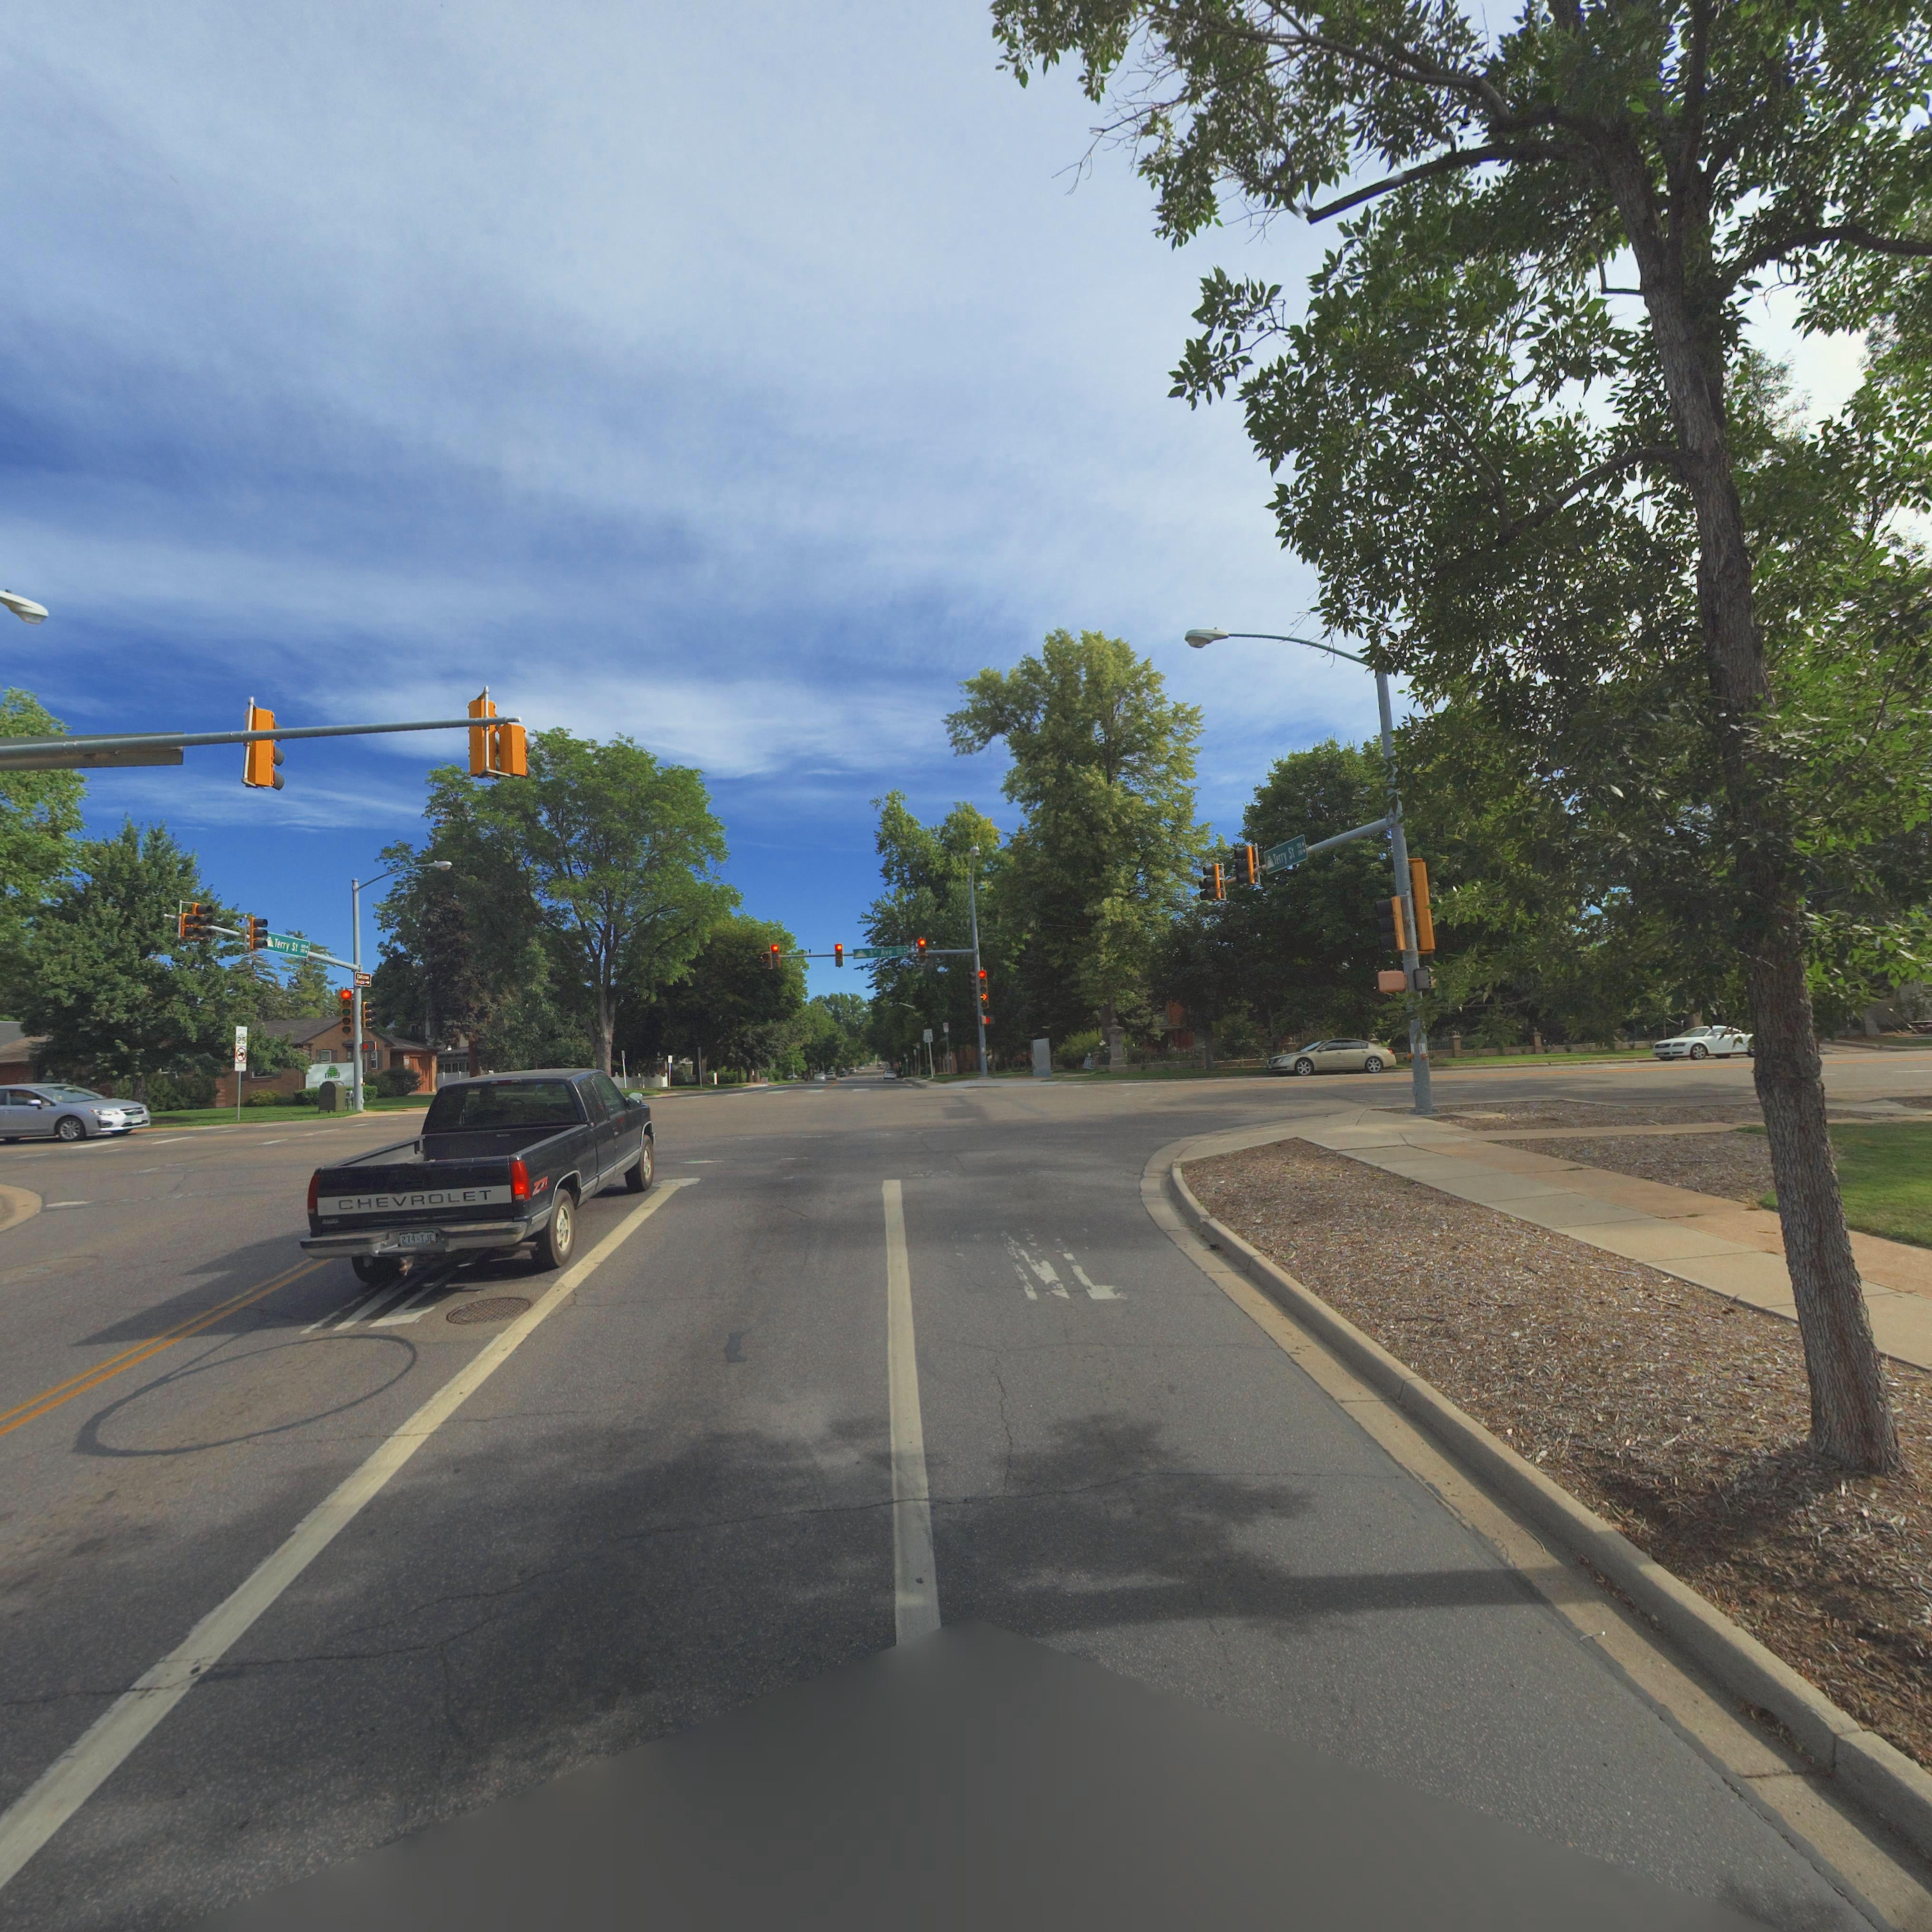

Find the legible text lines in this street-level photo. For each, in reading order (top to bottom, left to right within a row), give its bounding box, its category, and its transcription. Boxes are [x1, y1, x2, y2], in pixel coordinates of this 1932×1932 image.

[1295, 840, 1302, 850] StreetNumberRange: *00
[1272, 846, 1296, 865] StreetNumber: Terry St
[1296, 847, 1306, 856] StreetNumberRange: *00->
[273, 937, 299, 953] StreetName: Terry St
[869, 948, 893, 957] StreetName: 3rd Ave
[895, 947, 902, 951] StreetNumberRange: *00
[896, 951, 907, 955] StreetNumberRange: *00->